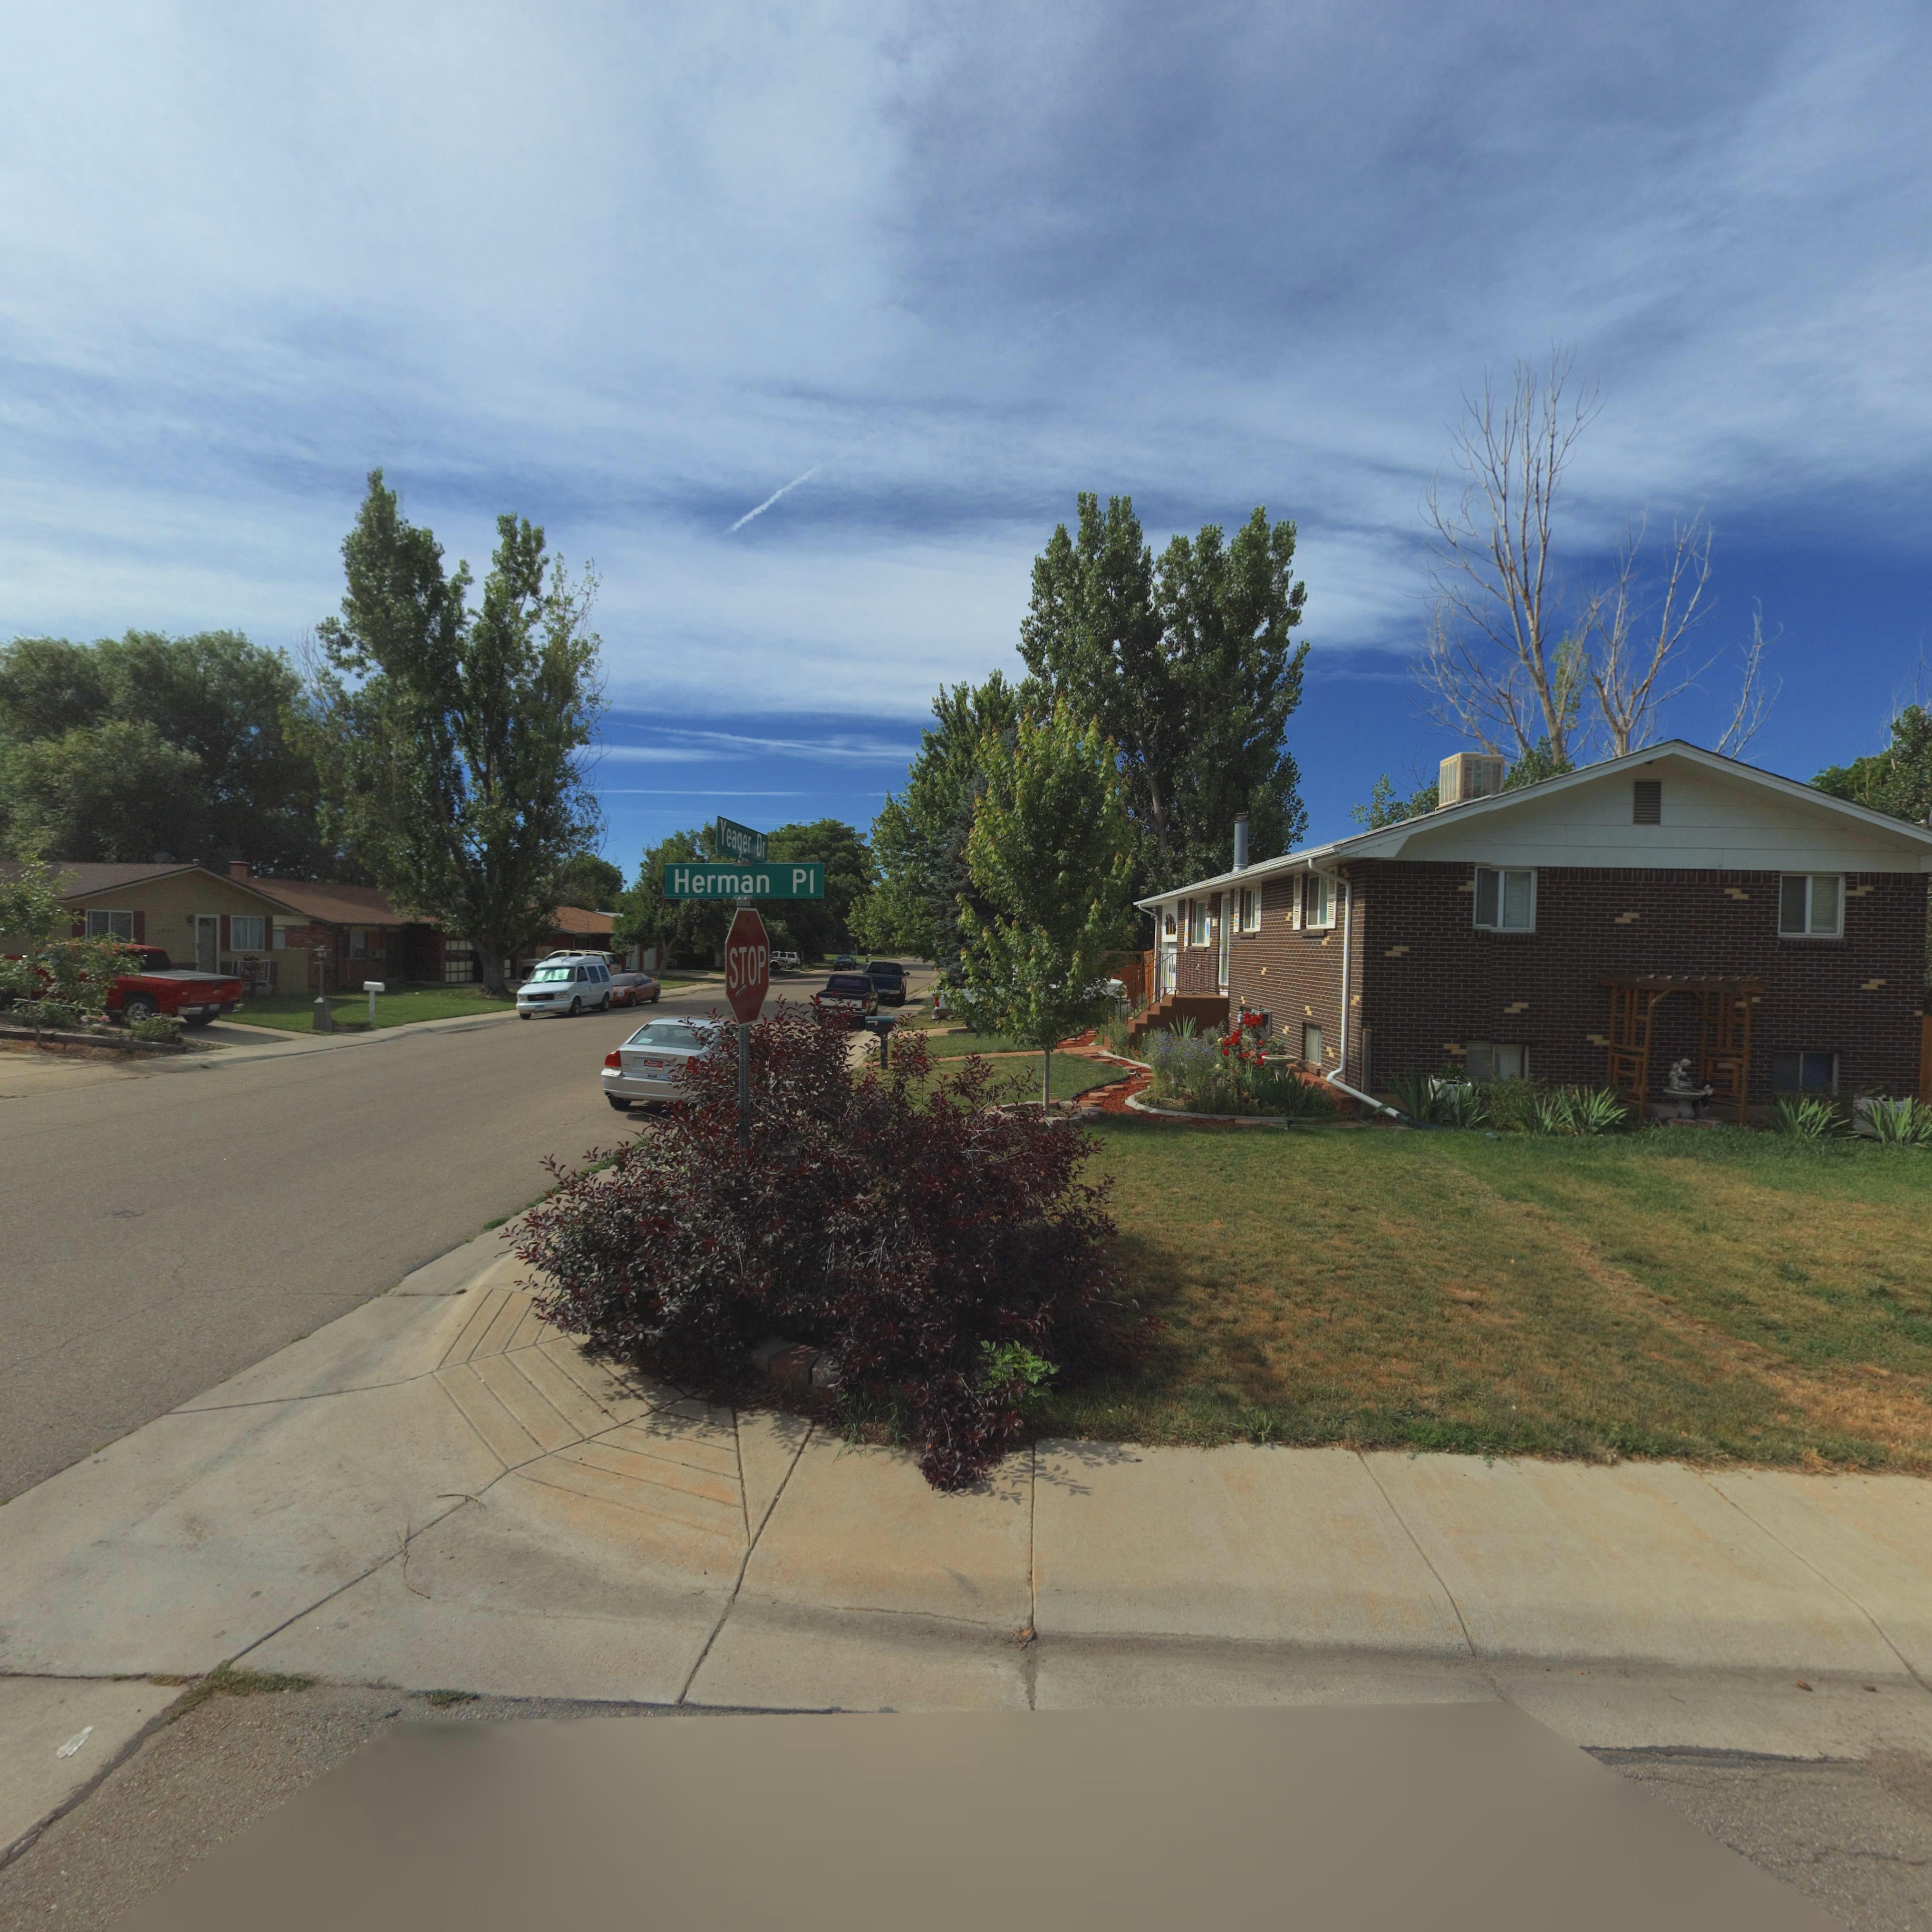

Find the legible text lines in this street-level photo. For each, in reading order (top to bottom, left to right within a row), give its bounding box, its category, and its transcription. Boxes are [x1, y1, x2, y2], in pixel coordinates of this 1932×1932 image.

[720, 818, 766, 859] StreetName: Yeager Dr
[674, 868, 814, 894] StreetName: Herman Pl
[157, 927, 176, 936] StreetNumber: 1***